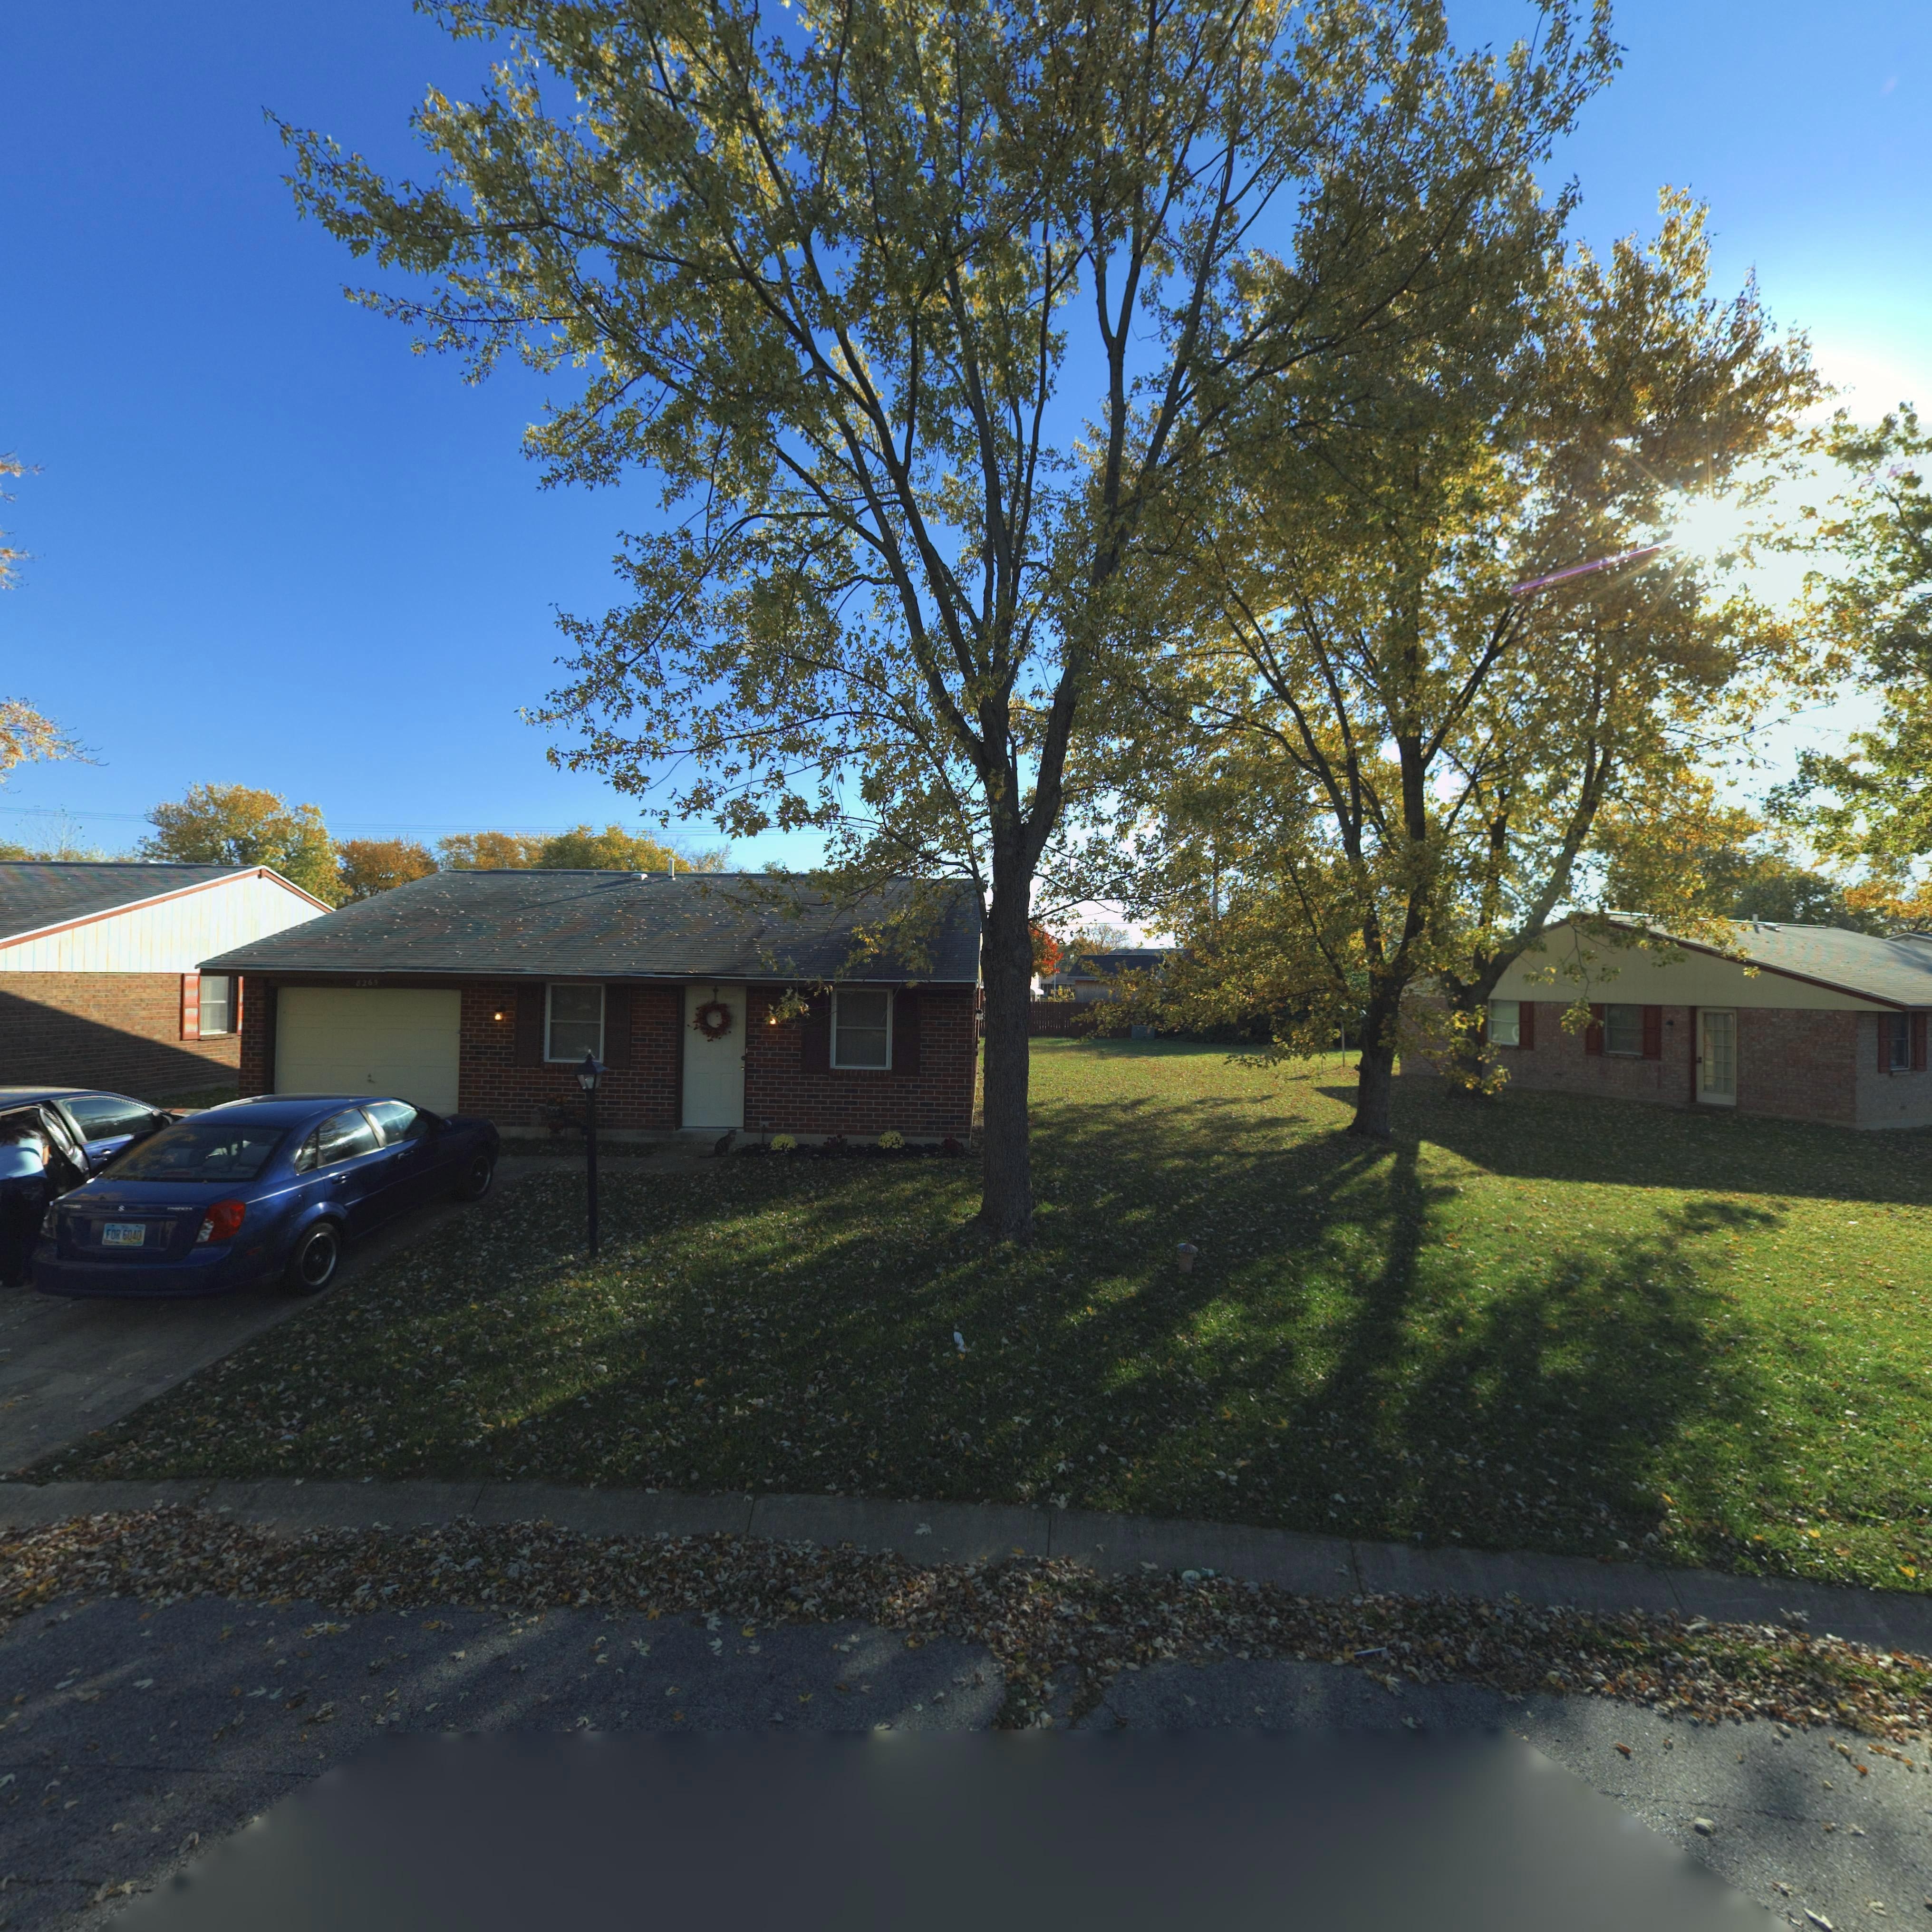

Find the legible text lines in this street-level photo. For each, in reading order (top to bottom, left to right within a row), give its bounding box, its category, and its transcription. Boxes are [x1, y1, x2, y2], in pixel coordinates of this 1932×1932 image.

[355, 979, 378, 987] StreetNumber: 8265